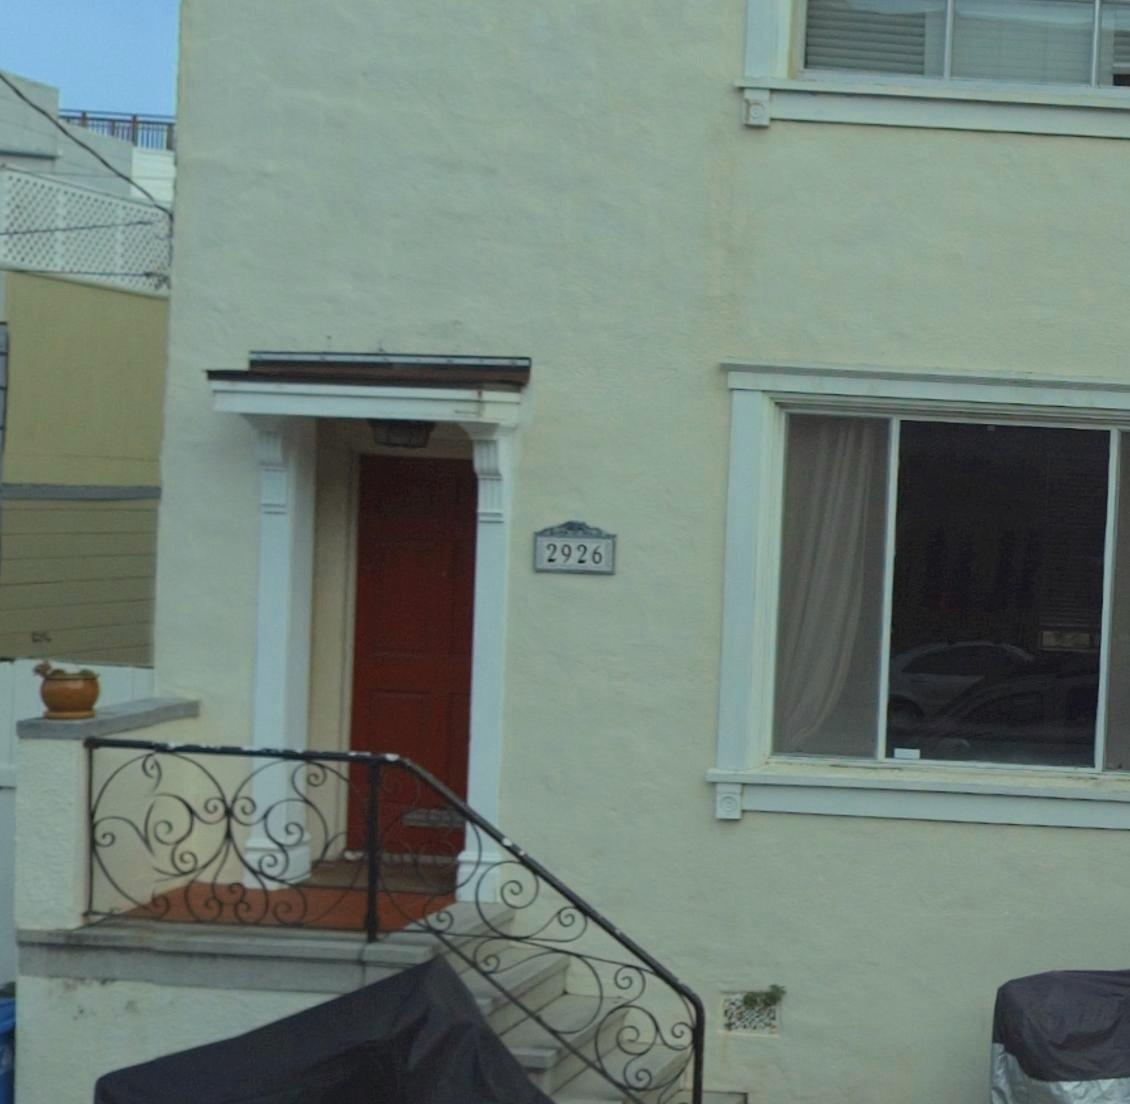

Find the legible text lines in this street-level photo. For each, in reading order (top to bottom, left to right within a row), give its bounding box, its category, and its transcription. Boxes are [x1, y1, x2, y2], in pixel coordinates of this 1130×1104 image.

[543, 541, 606, 568] StreetNumber: 2926